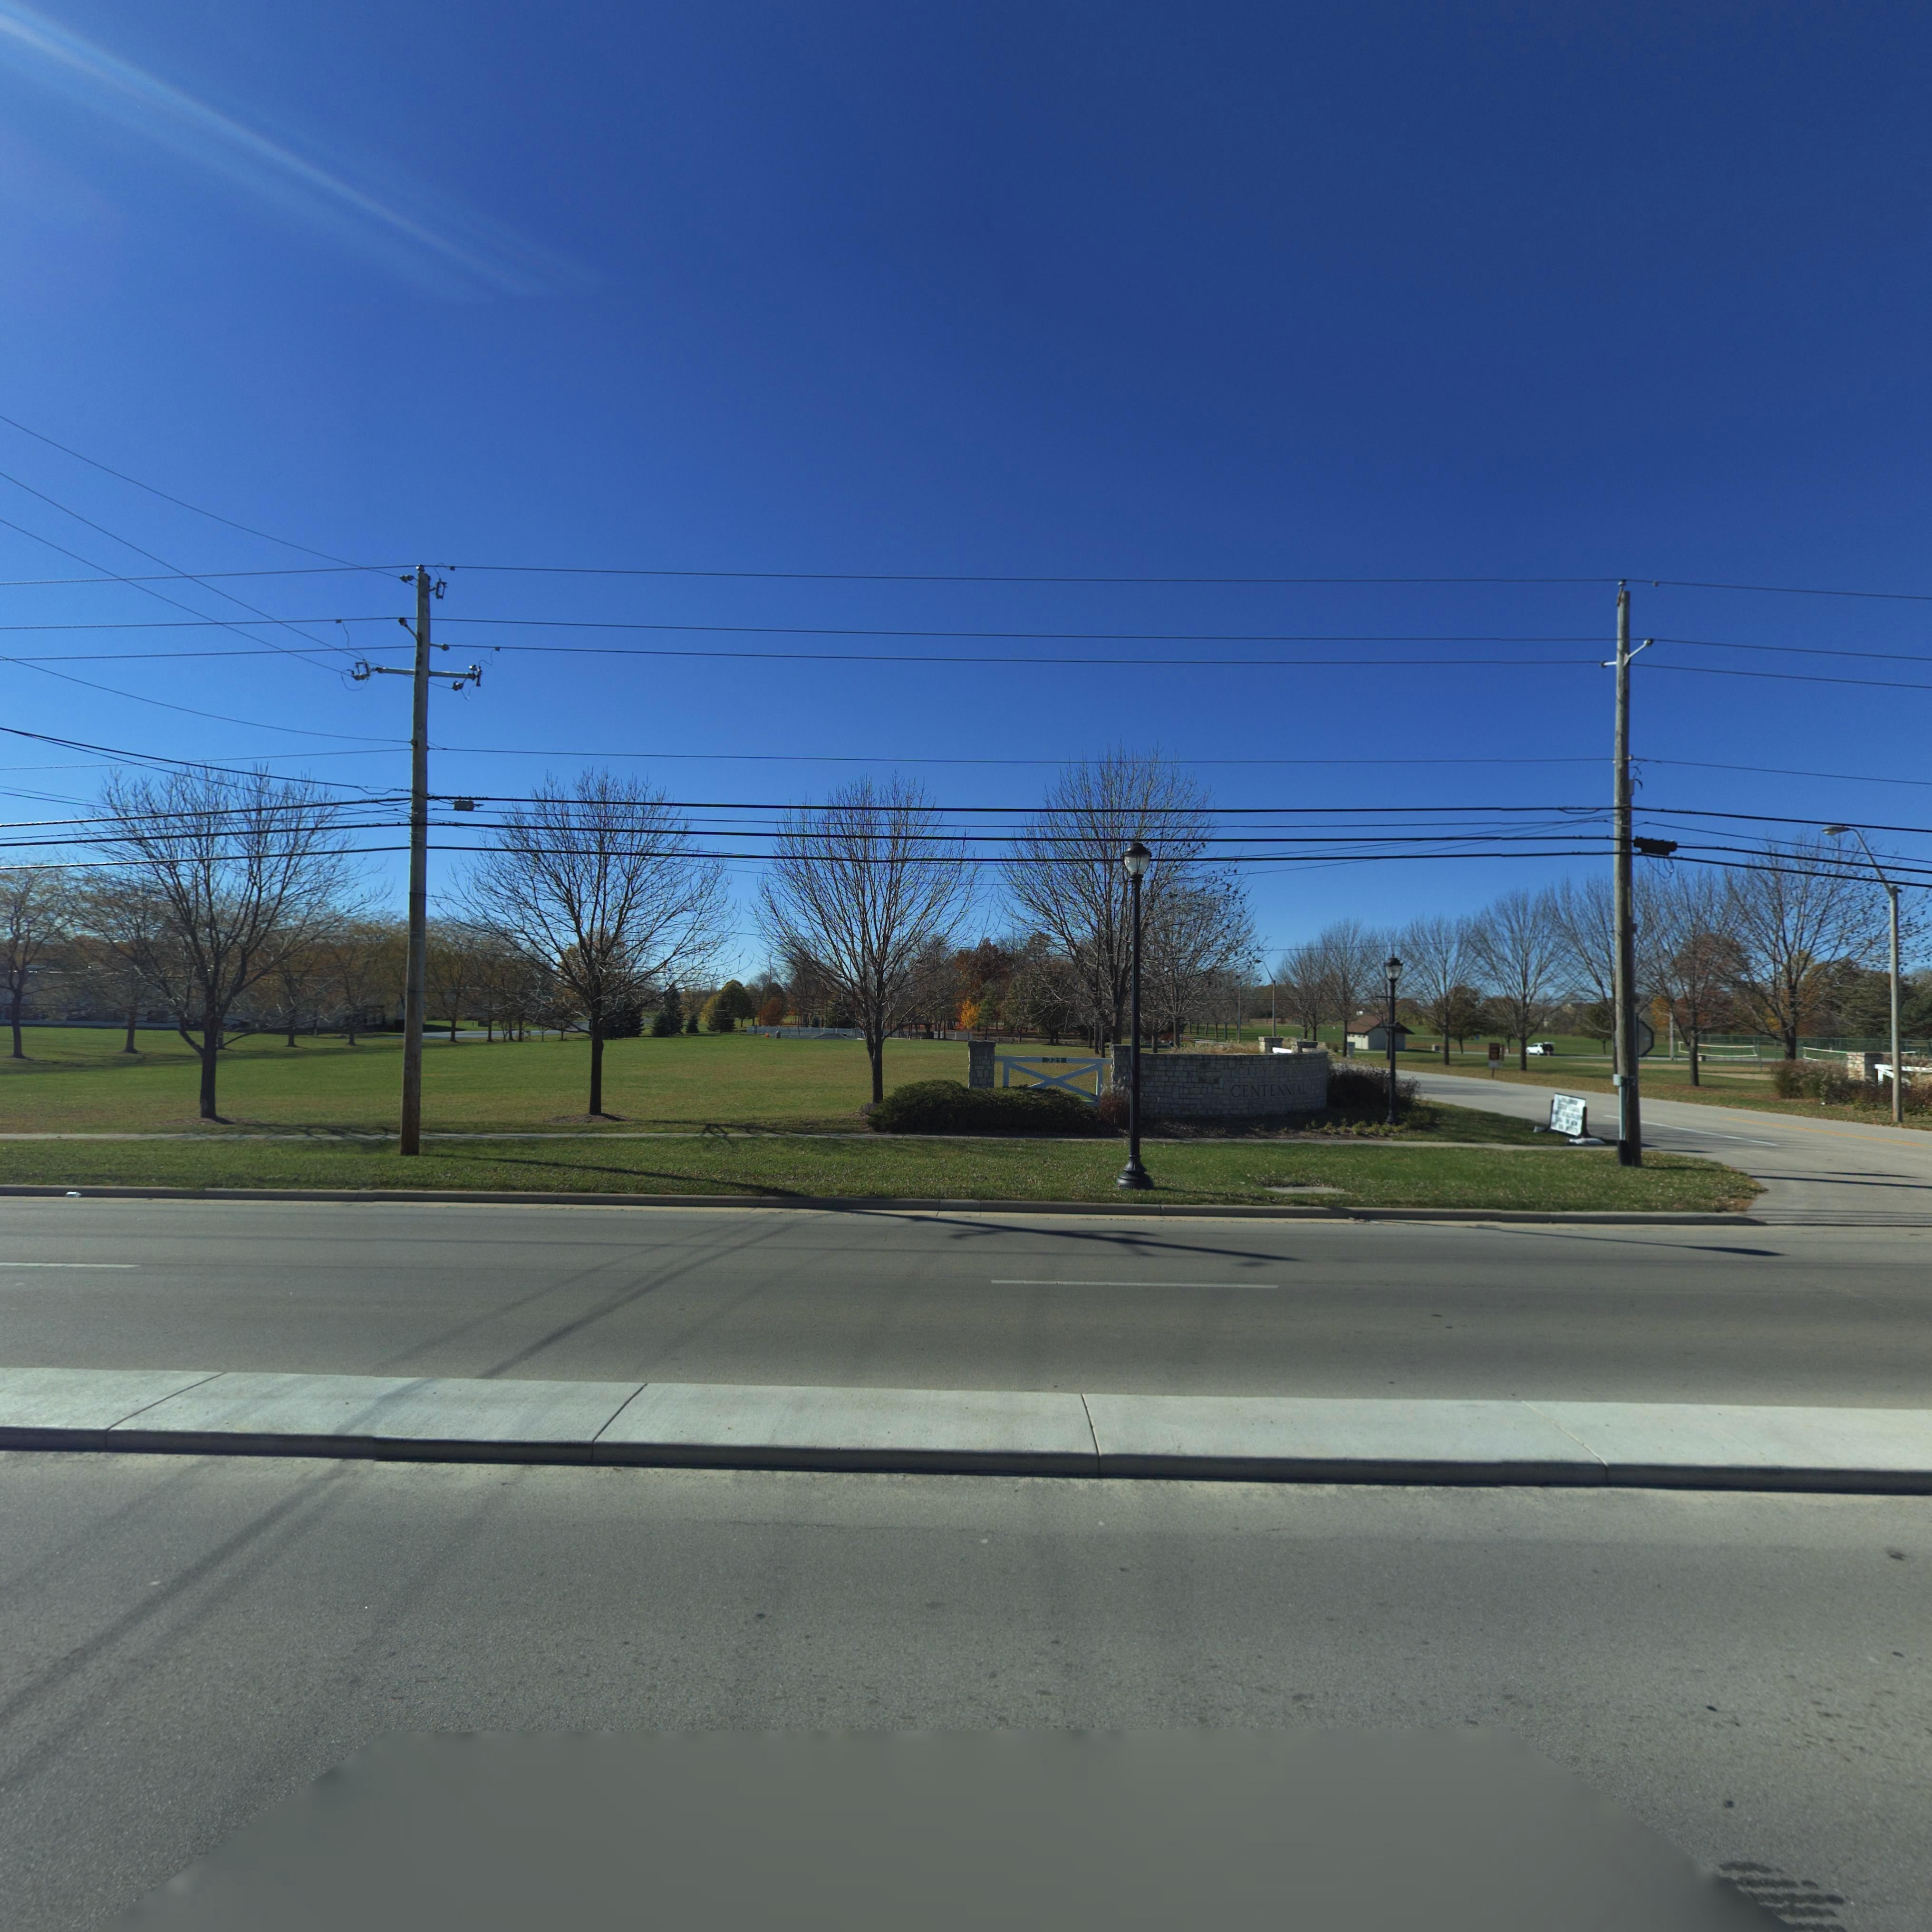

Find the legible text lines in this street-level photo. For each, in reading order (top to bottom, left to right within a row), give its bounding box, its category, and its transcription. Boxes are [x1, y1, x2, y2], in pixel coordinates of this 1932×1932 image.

[1047, 1057, 1062, 1063] StreetNumber: 321
[1236, 1065, 1289, 1076] None: CITY OF
[1230, 1082, 1308, 1098] None: CENTENNIAL